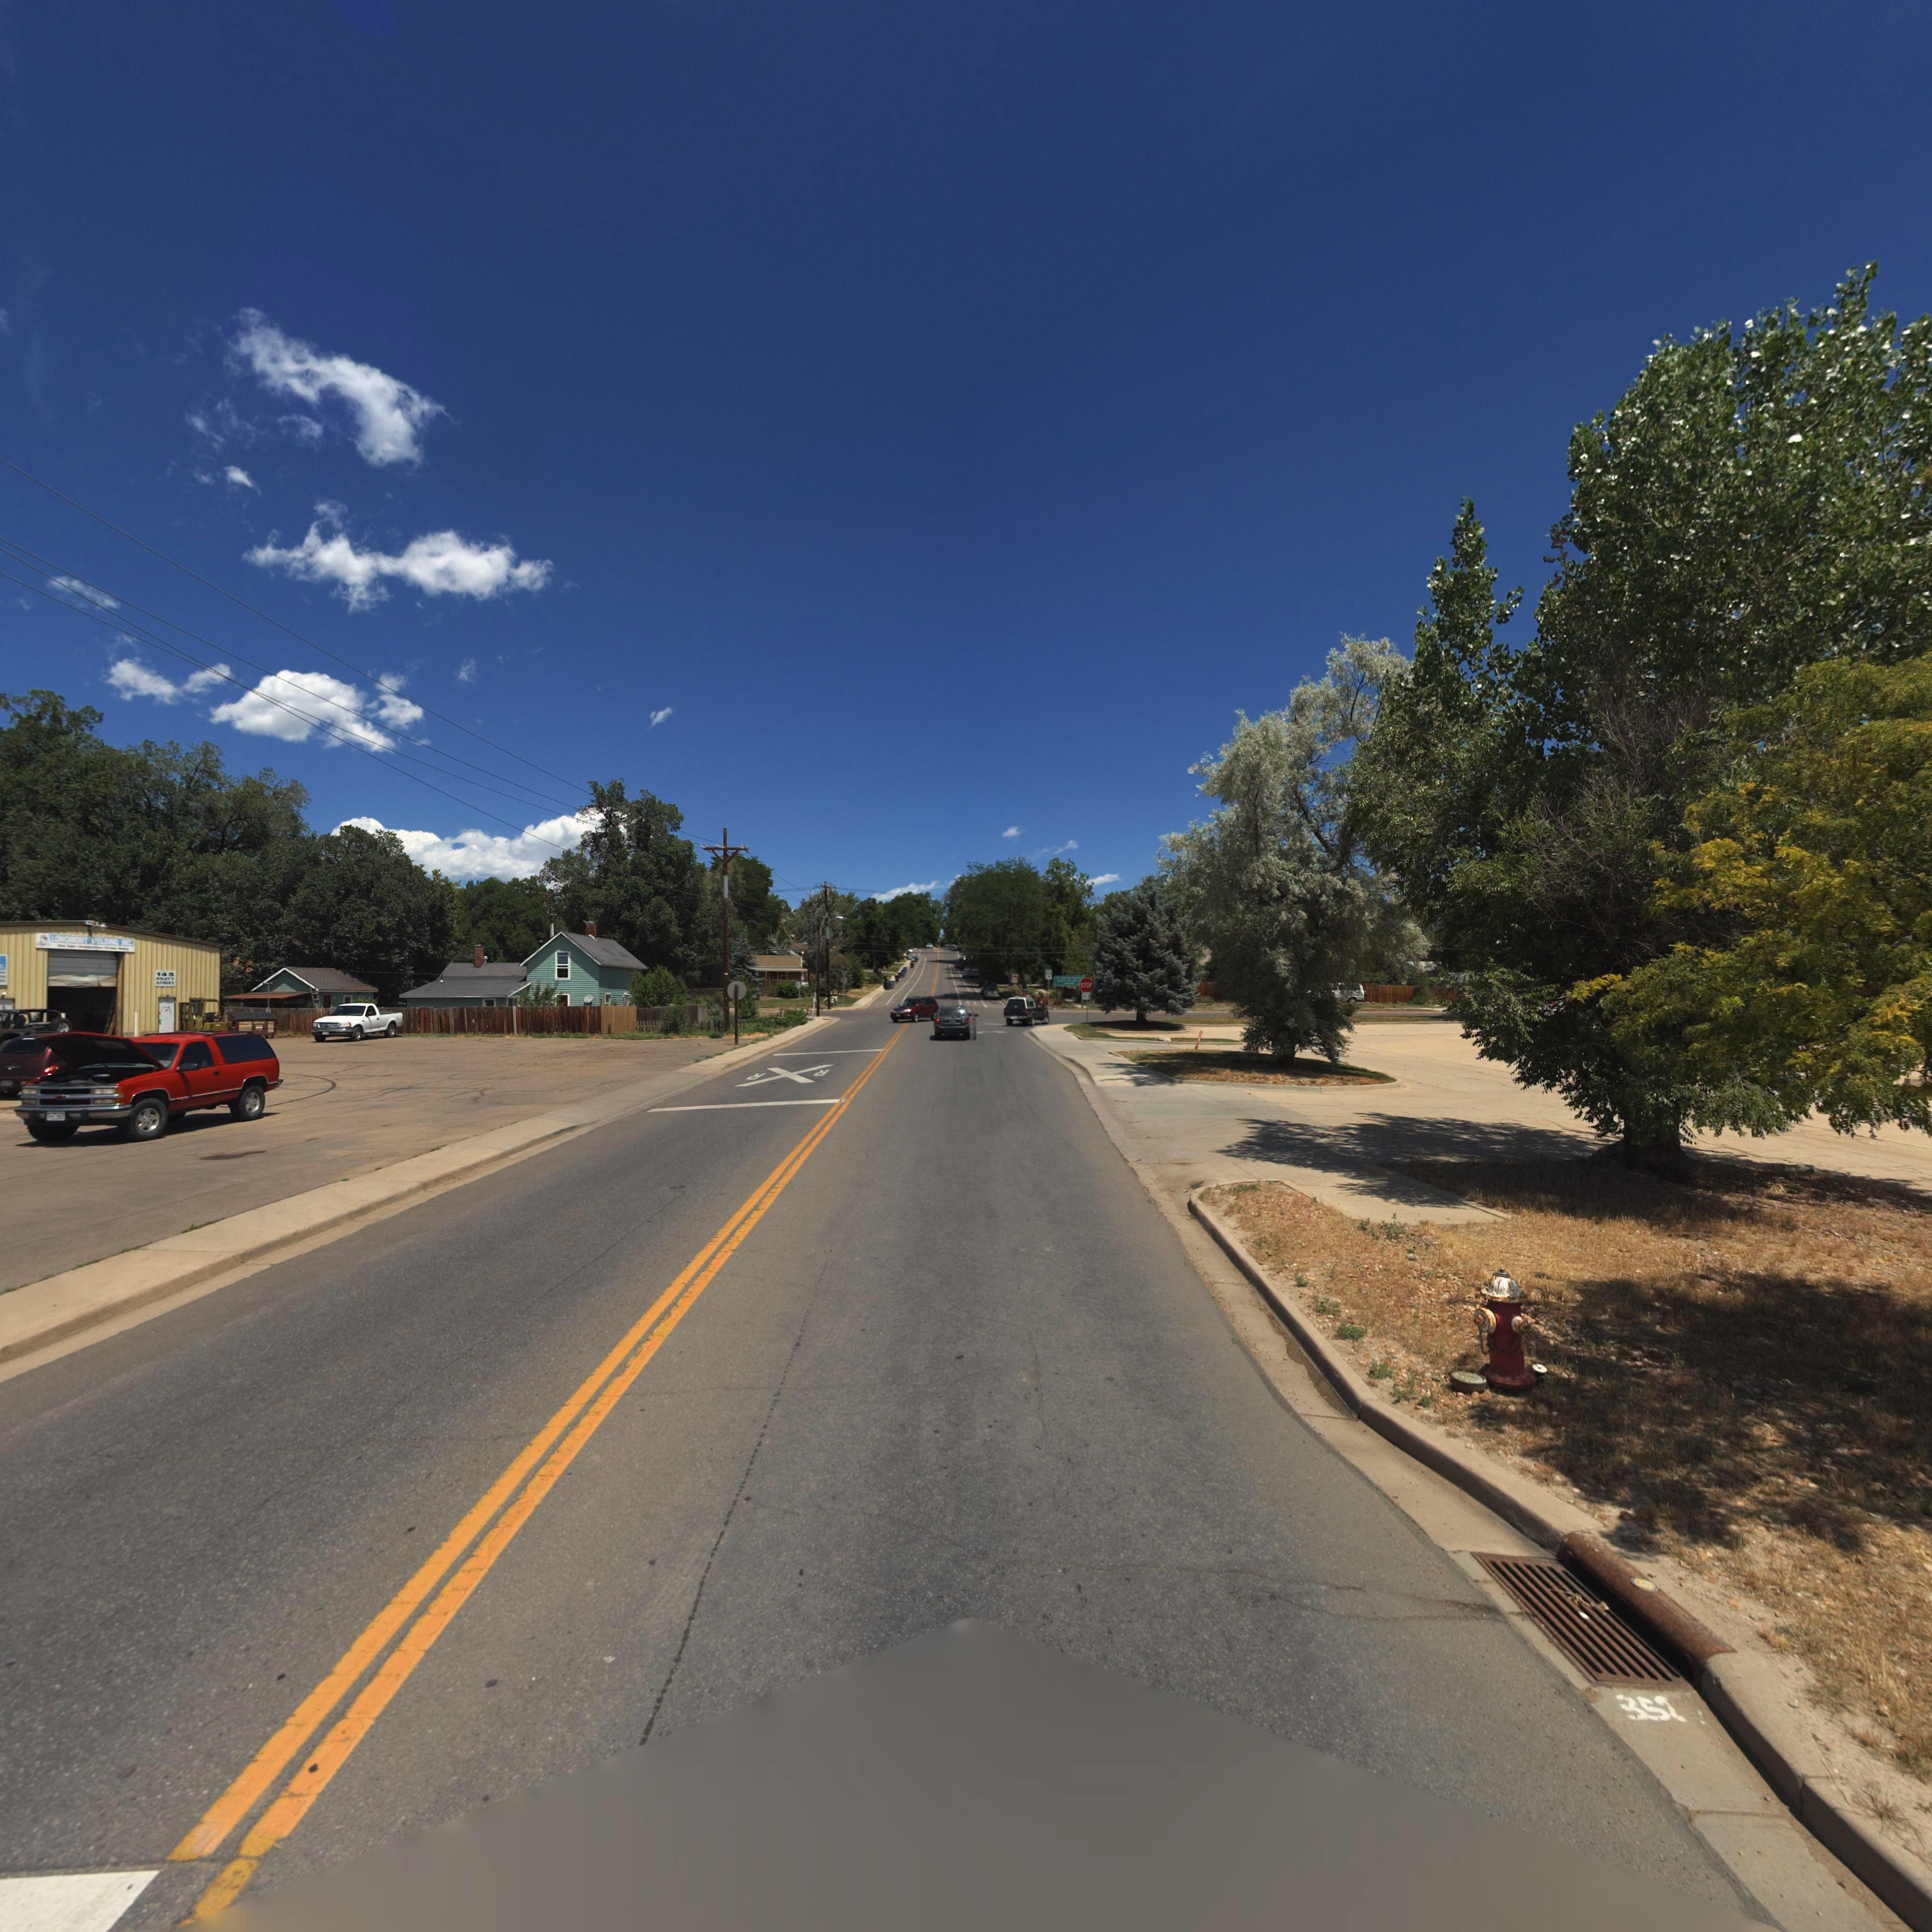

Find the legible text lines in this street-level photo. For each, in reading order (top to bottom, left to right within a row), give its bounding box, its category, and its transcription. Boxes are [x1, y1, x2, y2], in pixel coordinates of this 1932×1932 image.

[50, 935, 133, 946] BusinessName: LONGMONT WELDING INC.
[156, 972, 174, 976] StreetNumber: 145
[156, 976, 174, 980] StreetName: ***TT
[156, 981, 174, 985] StreetName: *****T